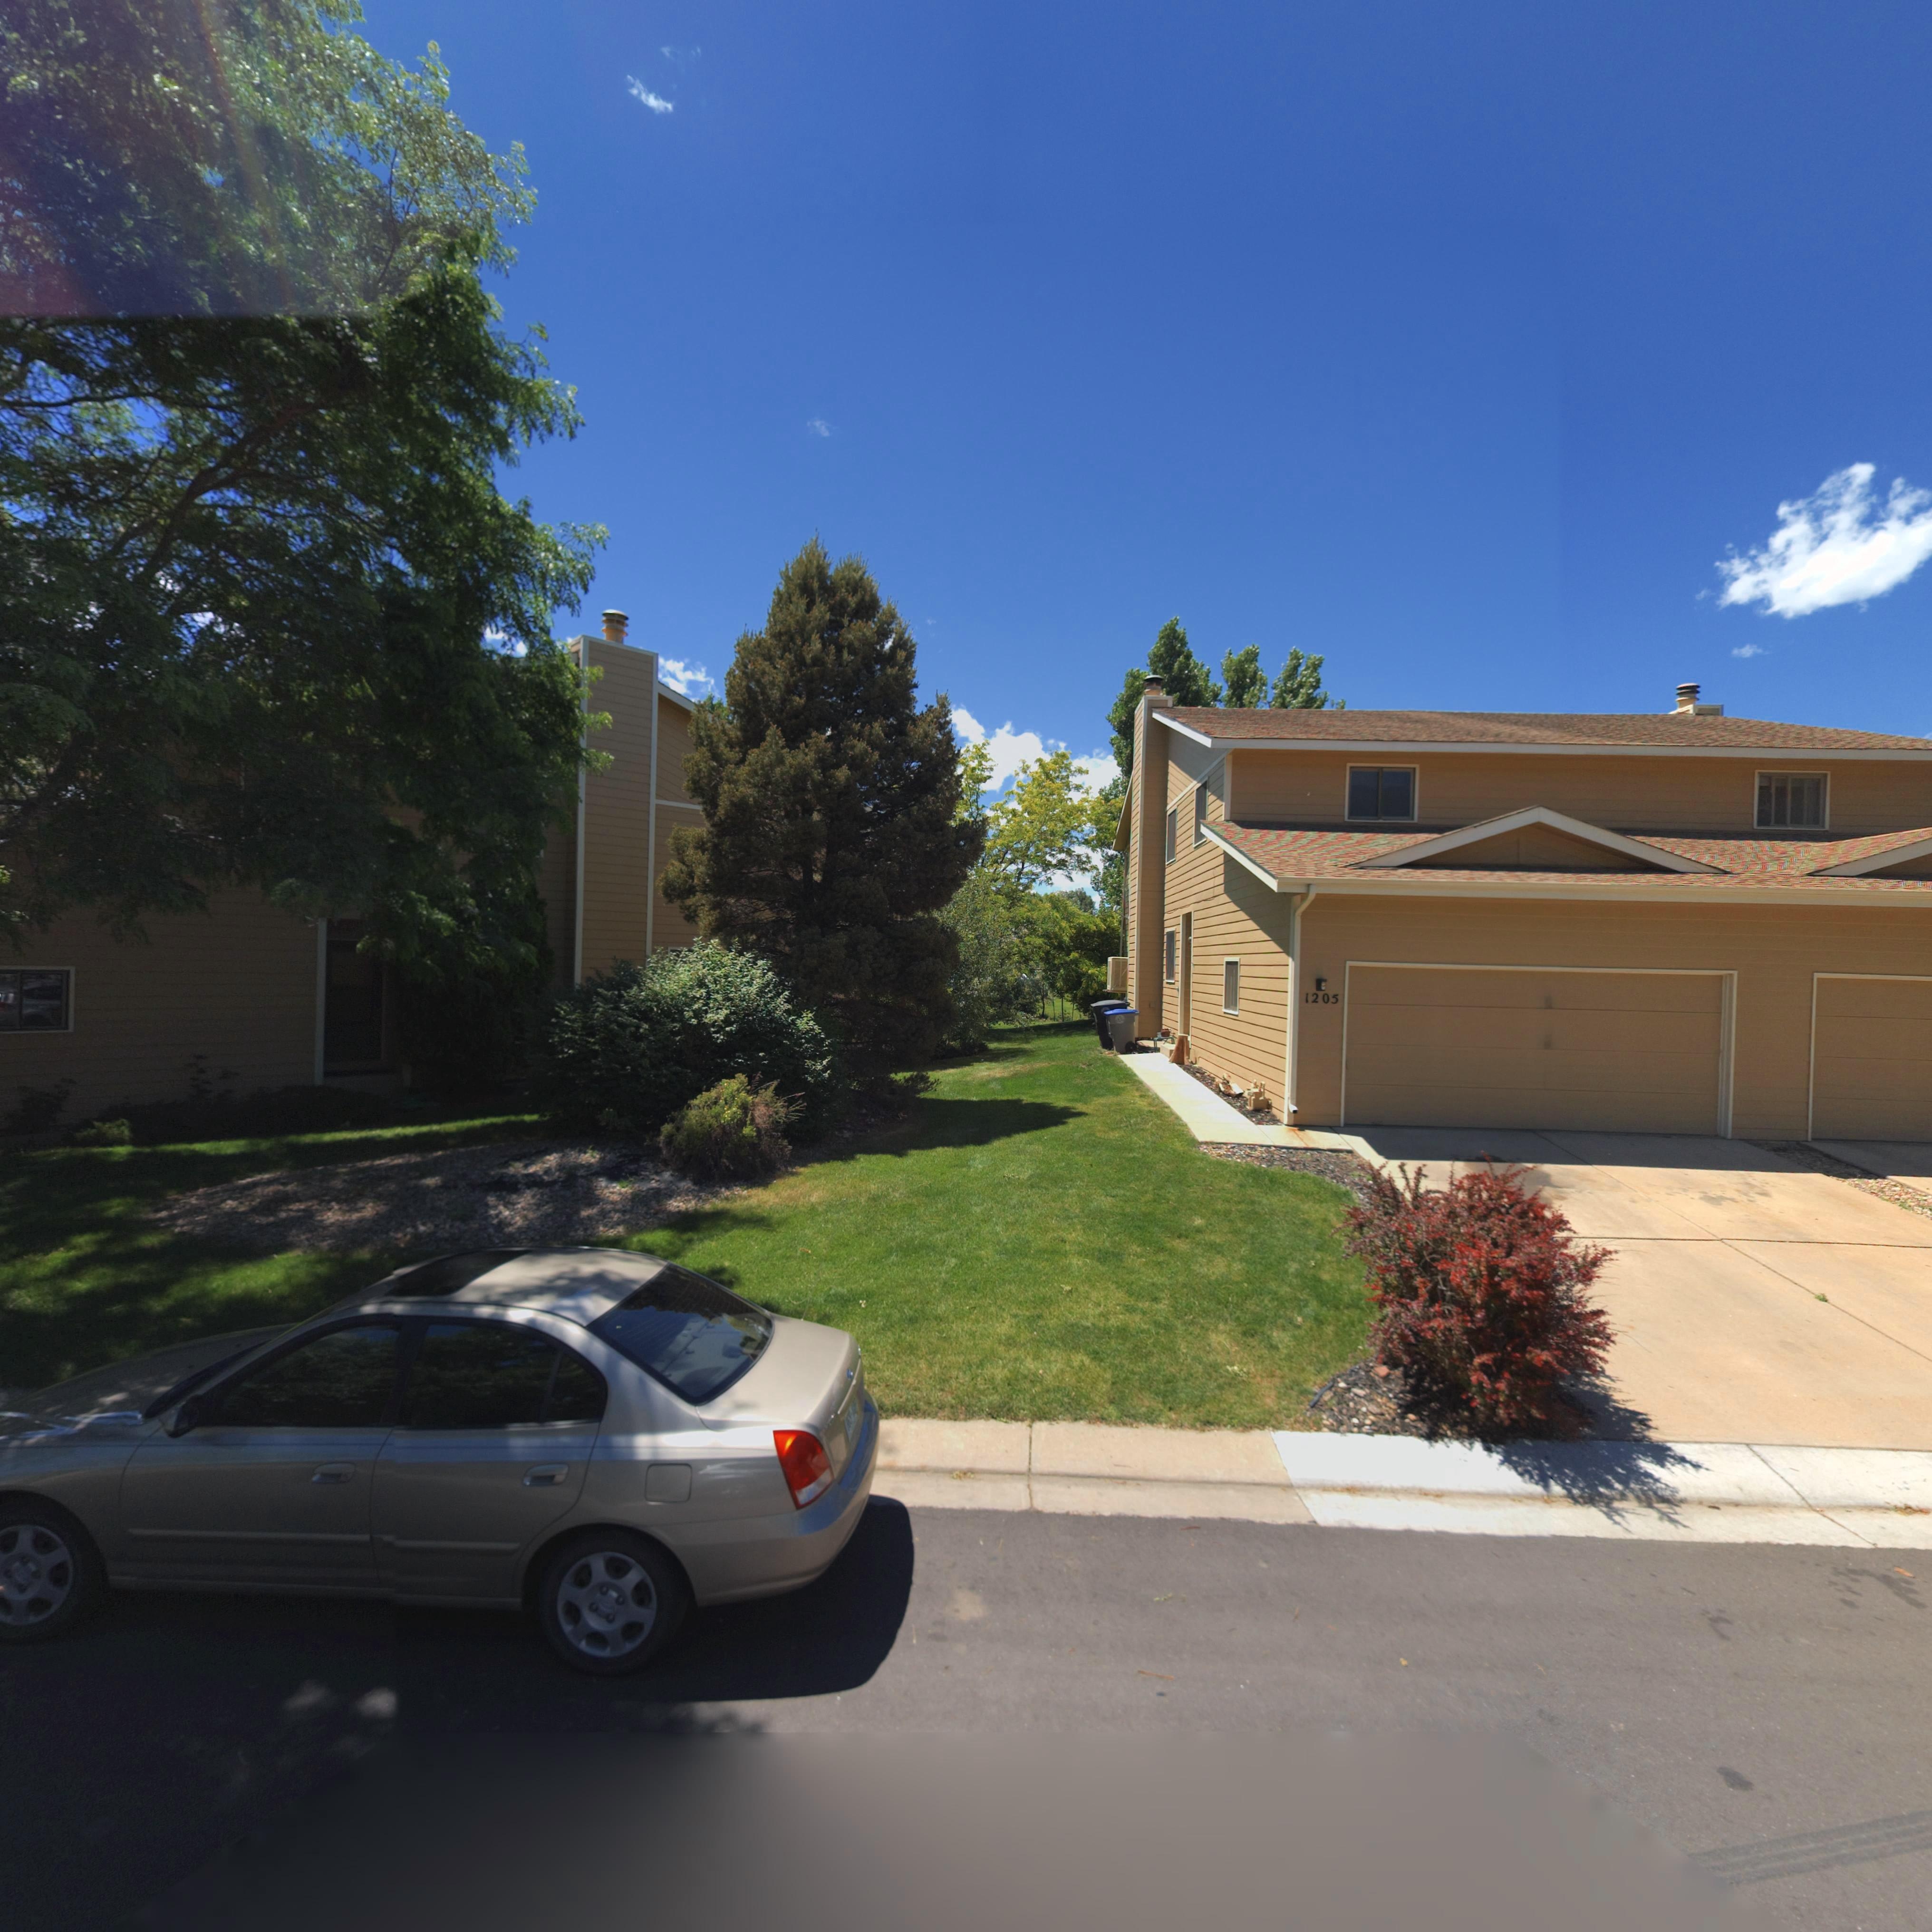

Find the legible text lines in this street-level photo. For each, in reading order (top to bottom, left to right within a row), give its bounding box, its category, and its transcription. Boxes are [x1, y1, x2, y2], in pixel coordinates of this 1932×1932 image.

[1304, 992, 1340, 1005] StreetNumber: 1205